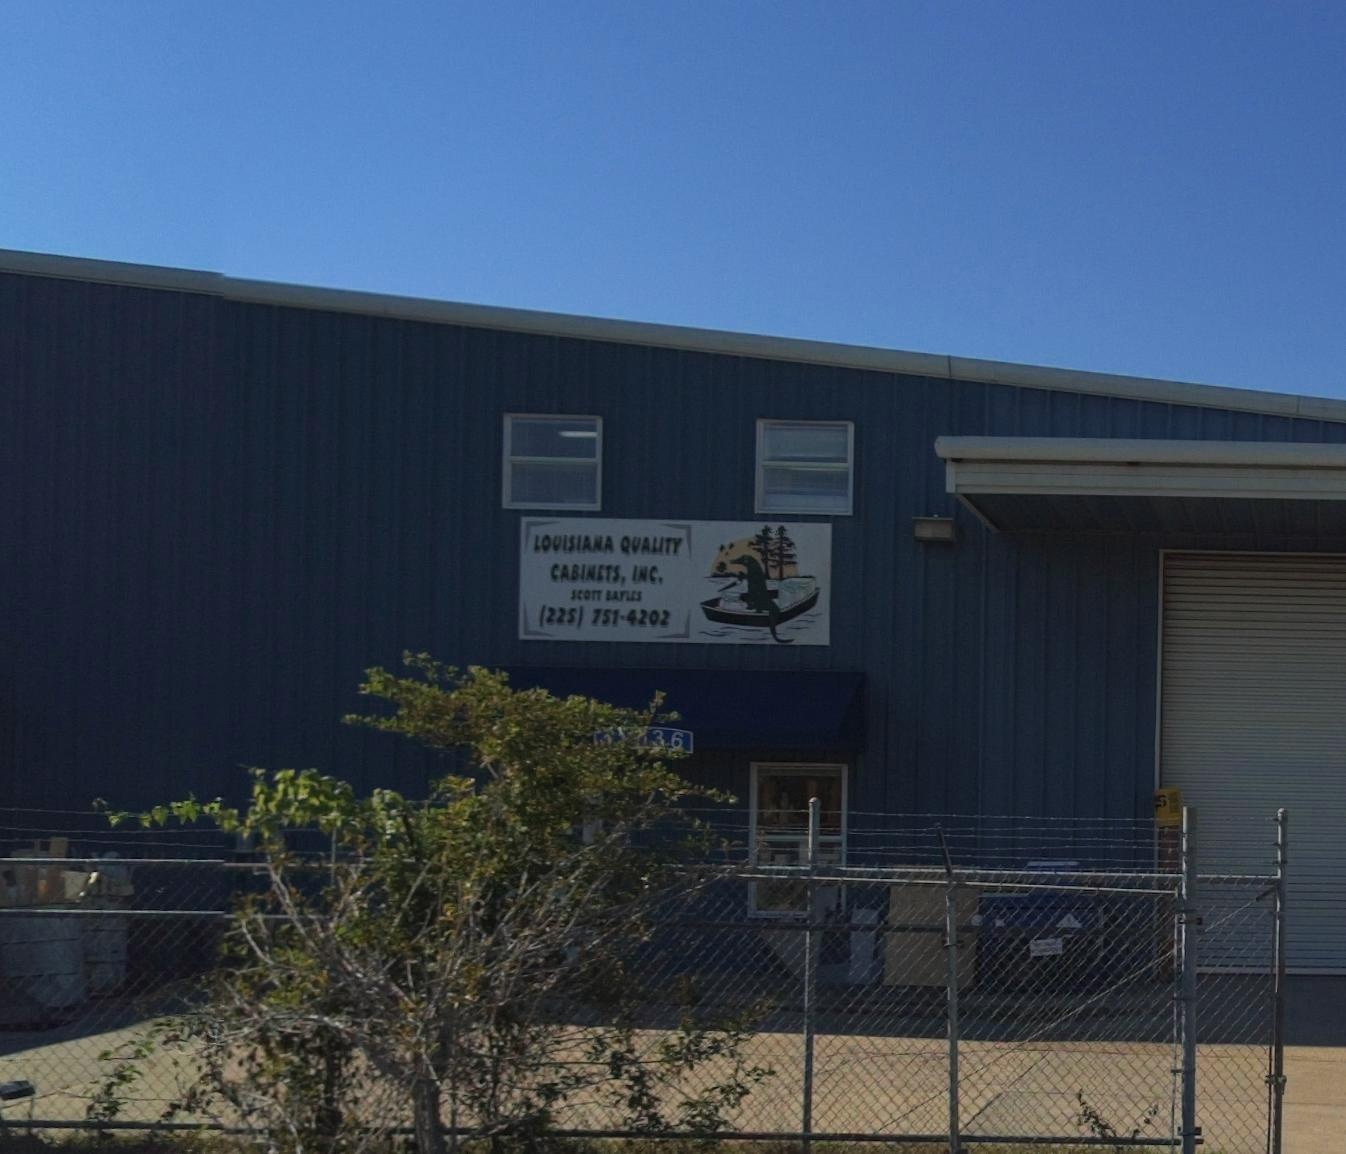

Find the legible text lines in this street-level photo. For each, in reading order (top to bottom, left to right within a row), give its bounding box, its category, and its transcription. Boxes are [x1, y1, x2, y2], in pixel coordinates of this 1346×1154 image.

[531, 532, 686, 558] BusinessName: LOUISIANA QUALITY
[547, 560, 667, 589] BusinessName: CABINETS, INC.
[568, 586, 646, 605] None: SCOTT *A*LES
[535, 602, 673, 631] None: (225) 751-4202
[668, 729, 686, 751] StreetNumber: 6